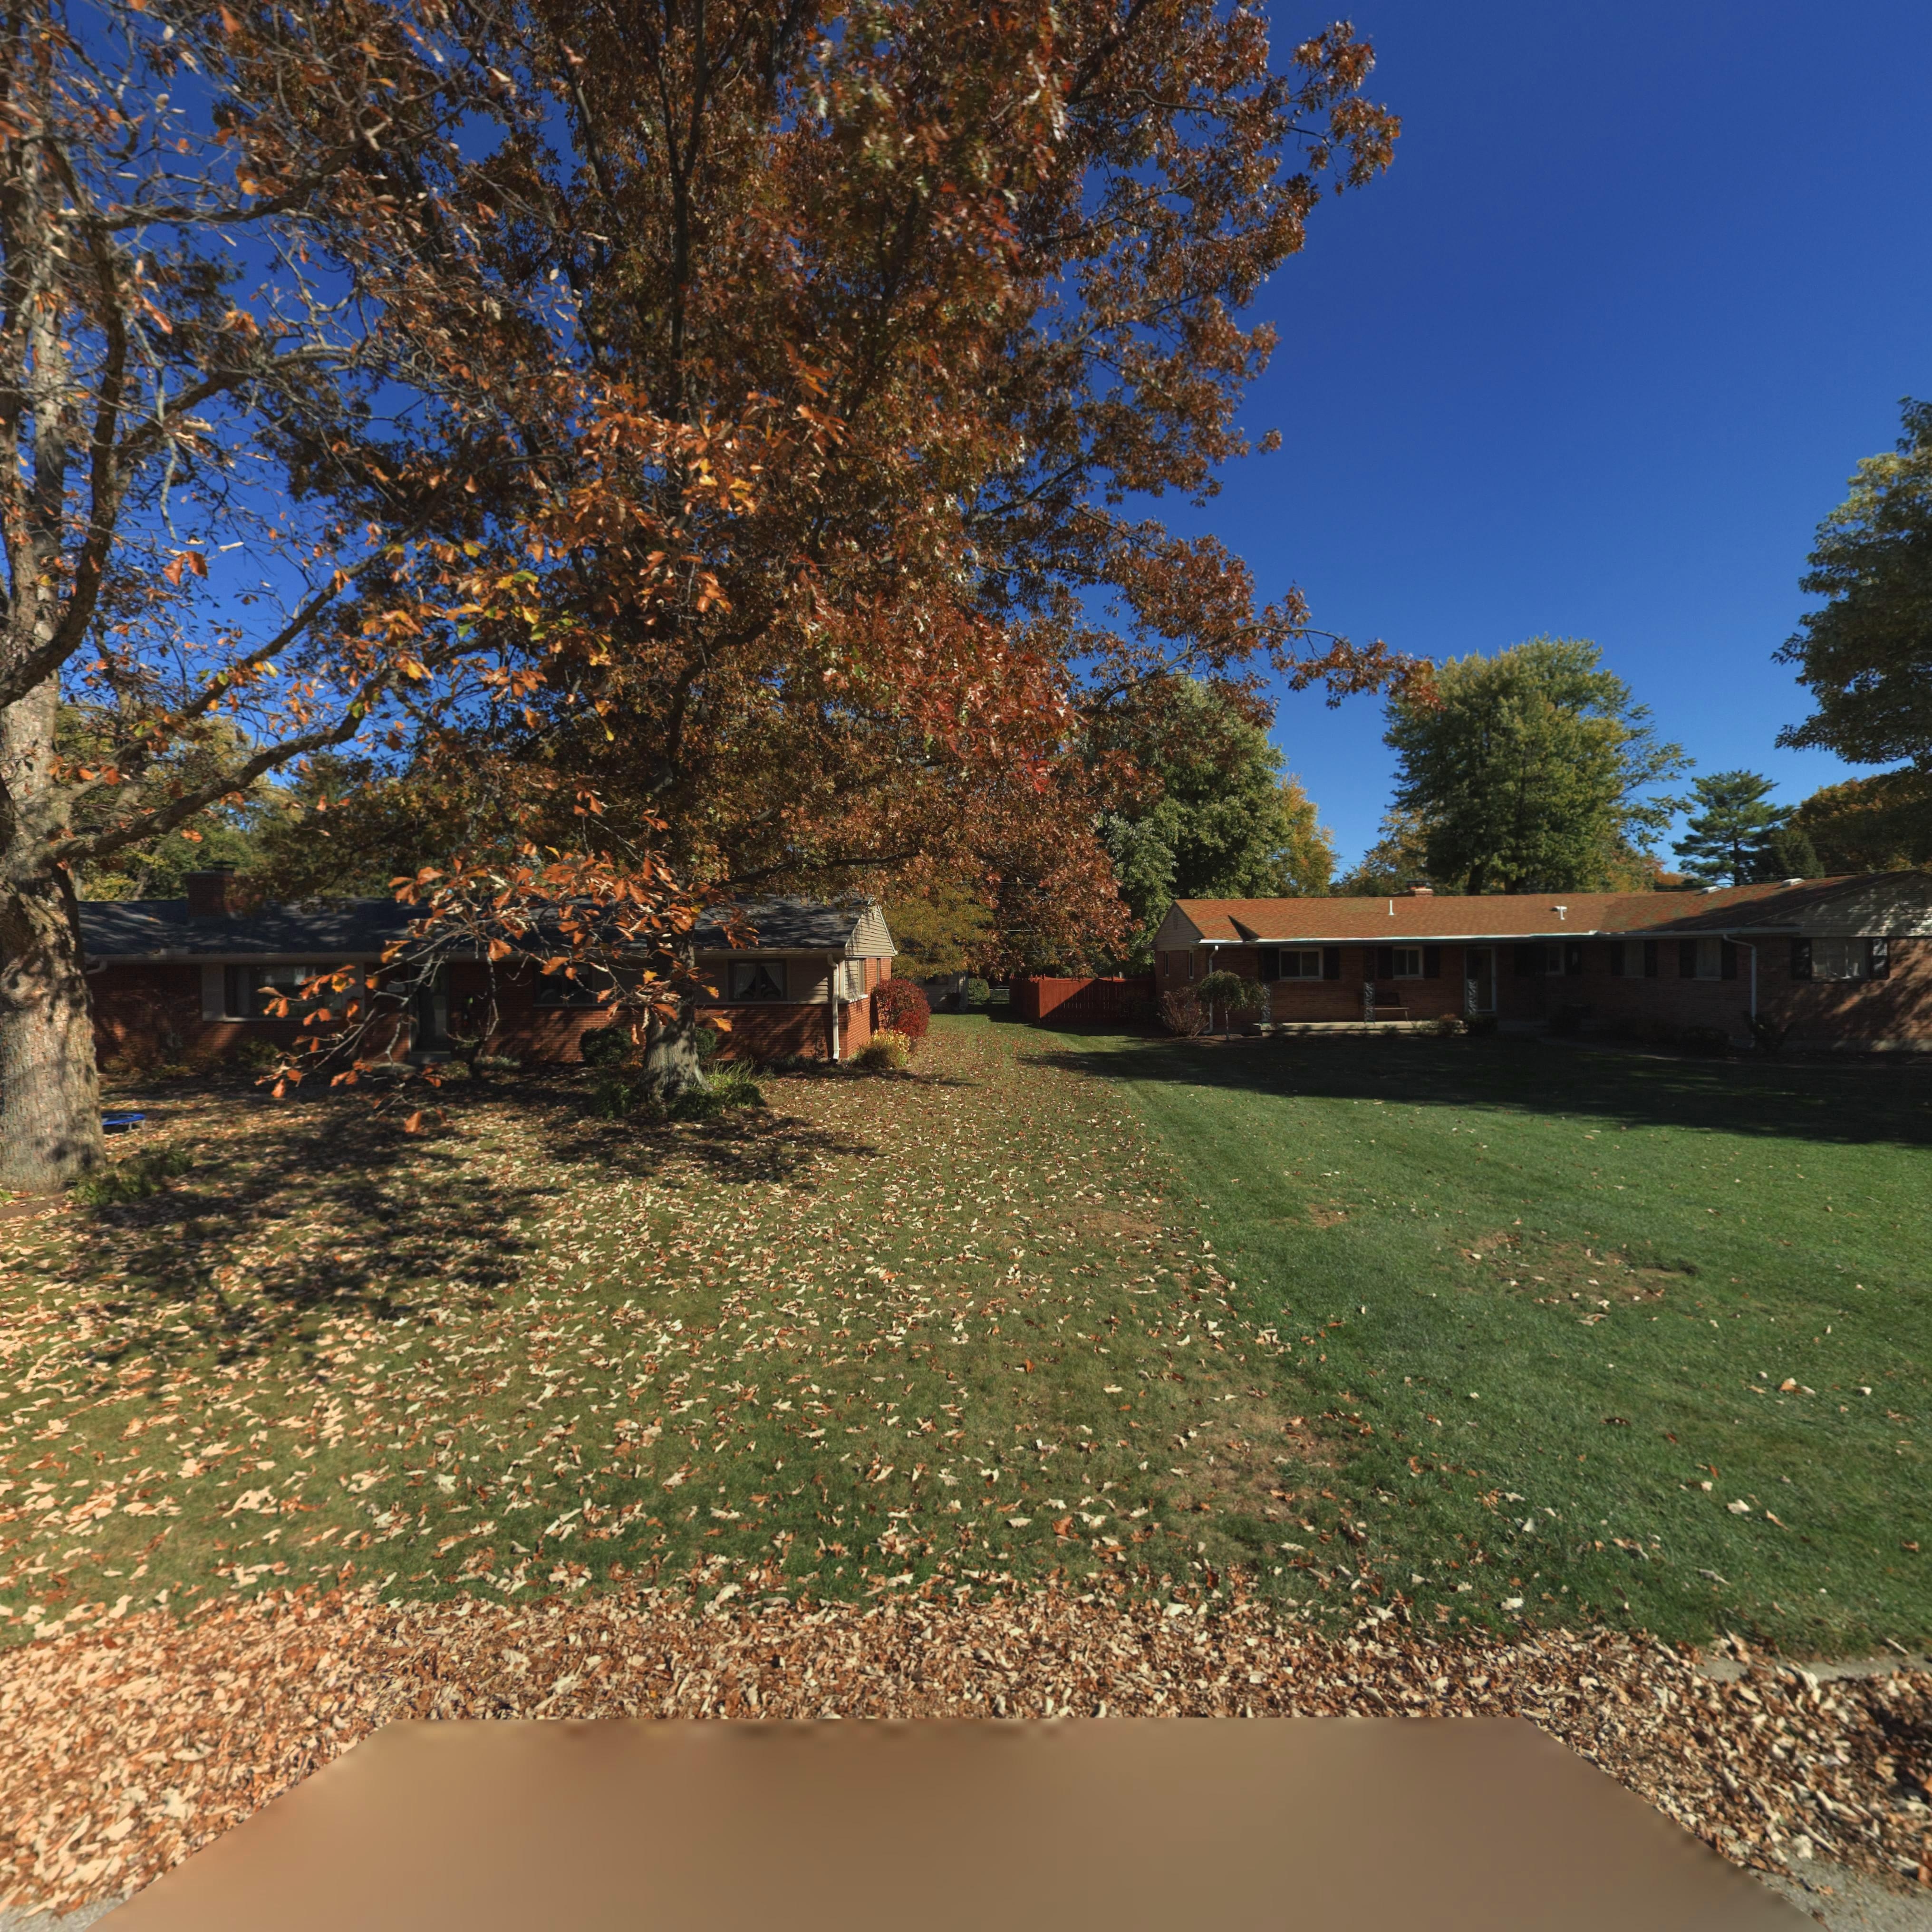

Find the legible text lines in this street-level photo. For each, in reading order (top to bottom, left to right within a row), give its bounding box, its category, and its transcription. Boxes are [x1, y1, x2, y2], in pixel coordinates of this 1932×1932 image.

[387, 985, 403, 991] StreetNumber: *0*0